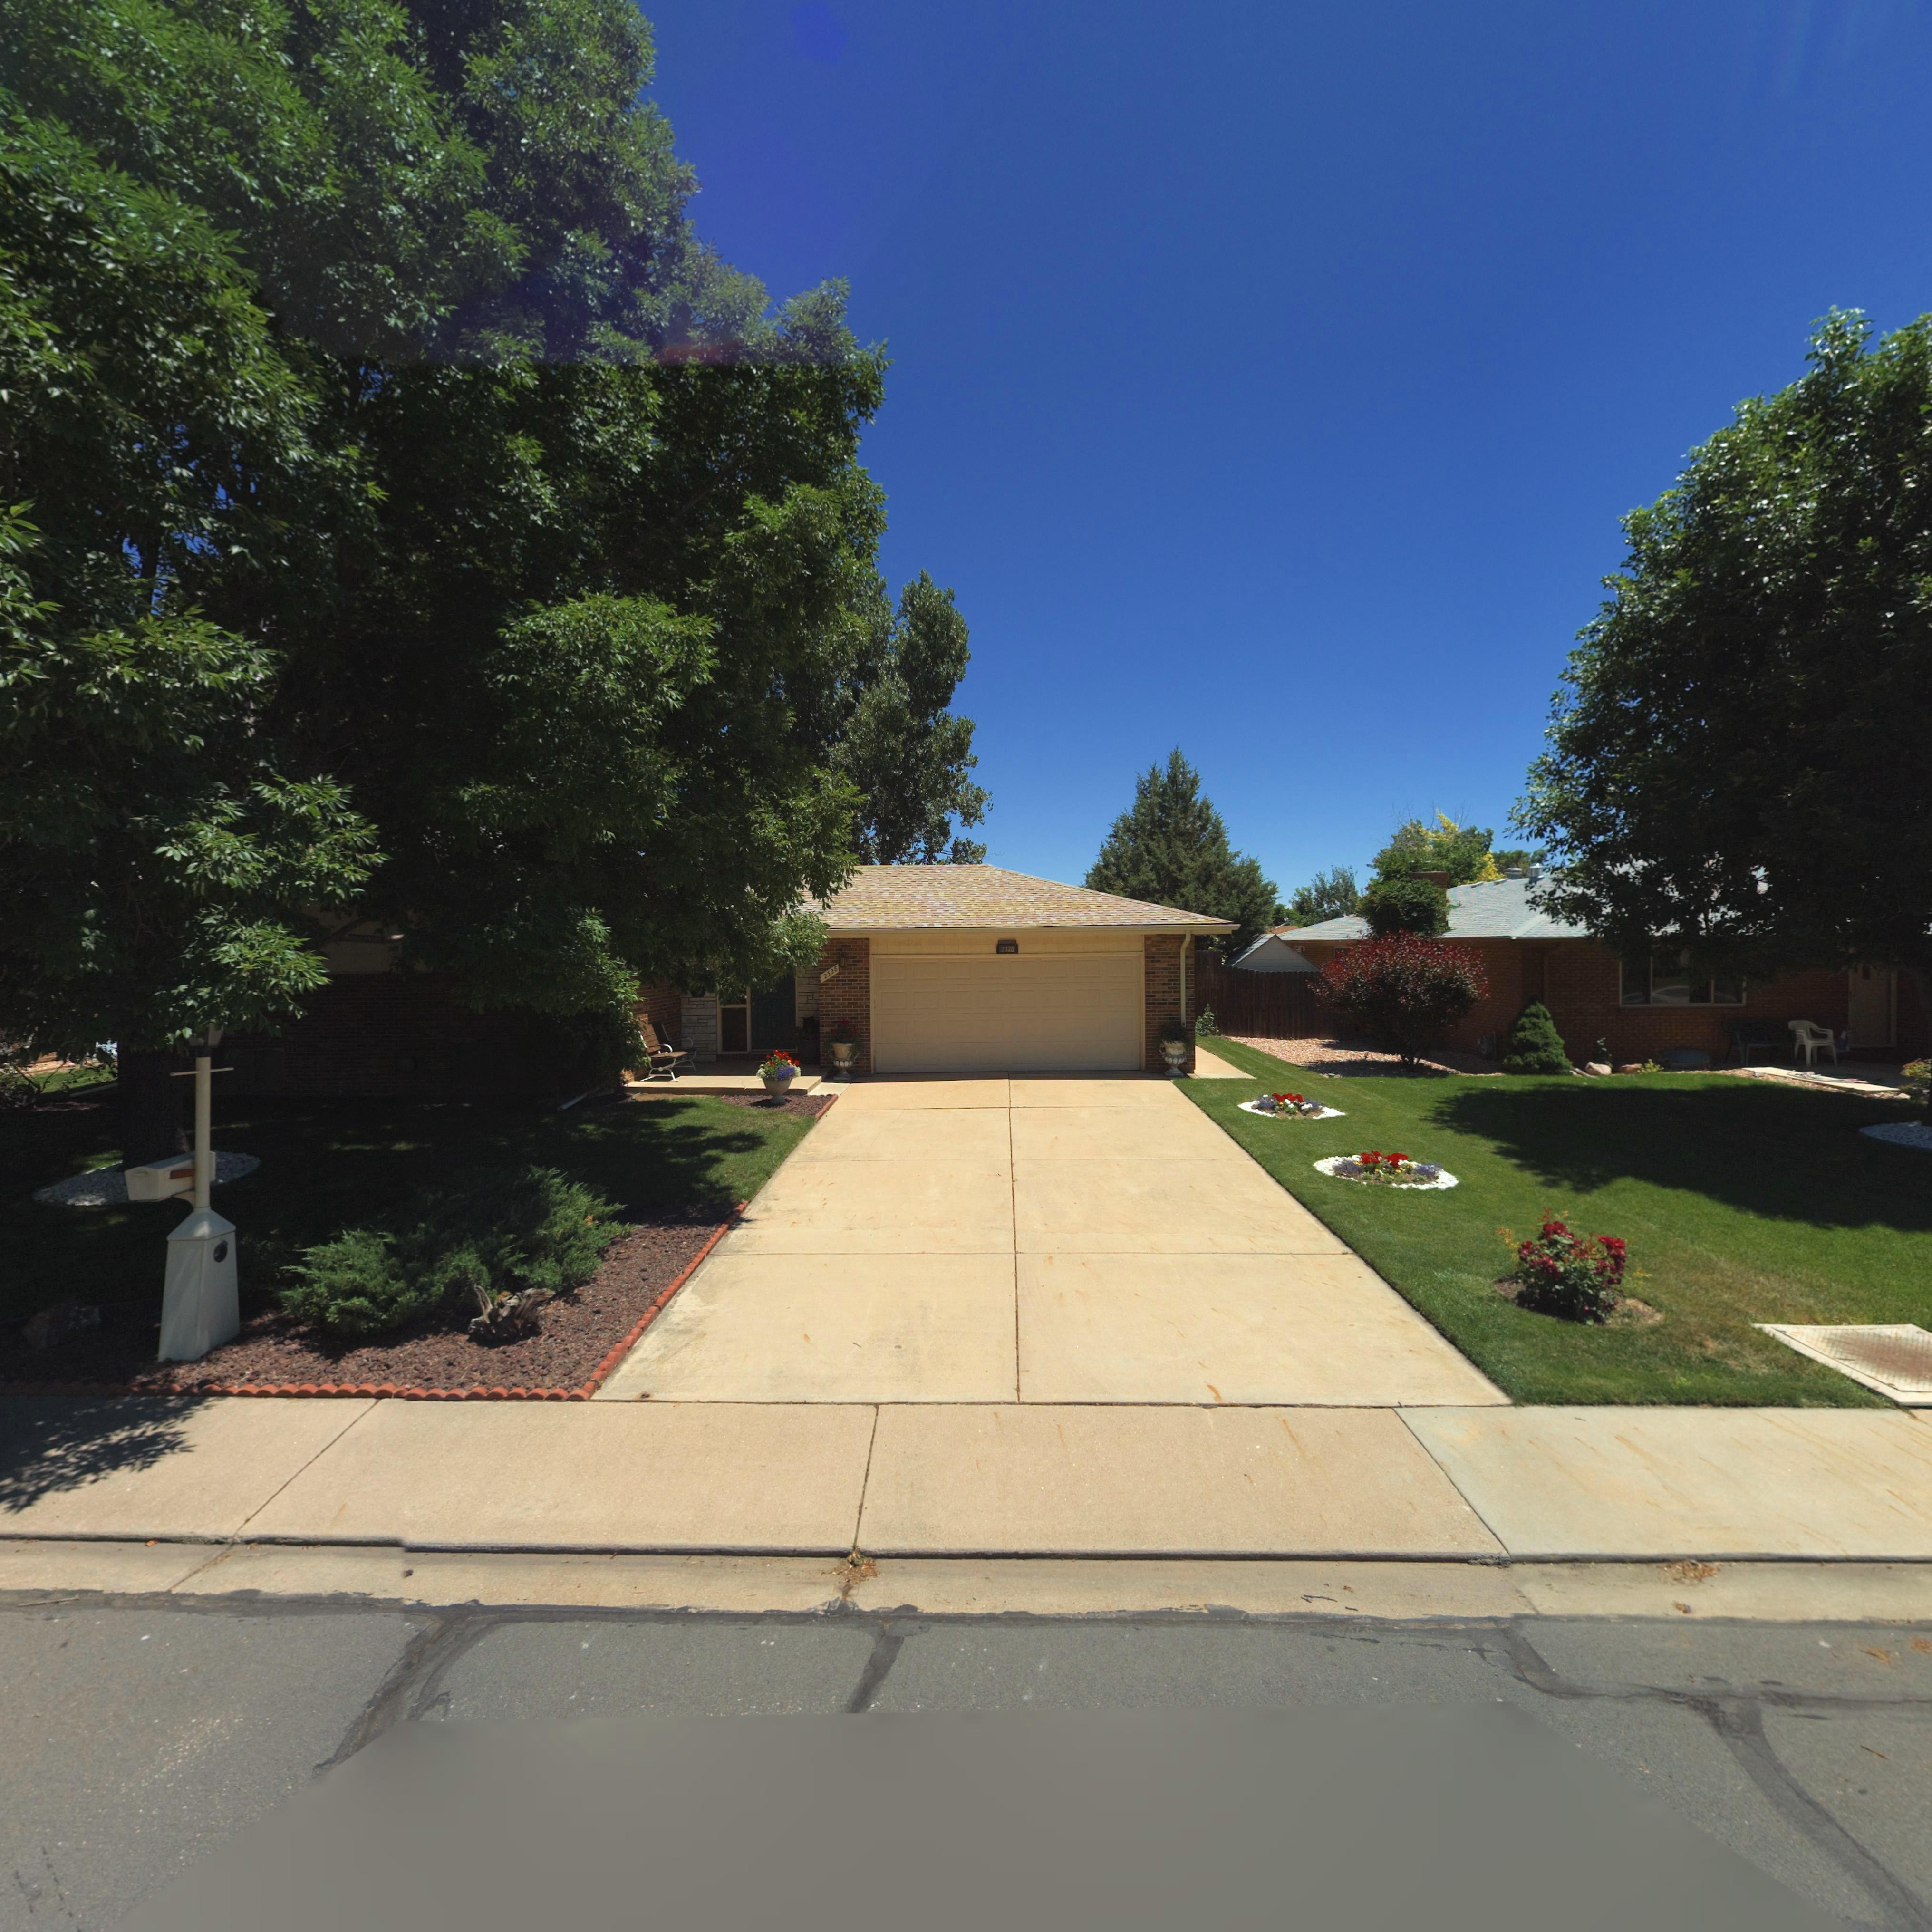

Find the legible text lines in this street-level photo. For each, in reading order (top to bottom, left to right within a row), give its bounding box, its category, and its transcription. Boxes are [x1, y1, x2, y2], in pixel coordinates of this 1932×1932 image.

[1000, 946, 1014, 952] StreetNumber: 2328
[822, 965, 838, 979] StreetNumber: 2328